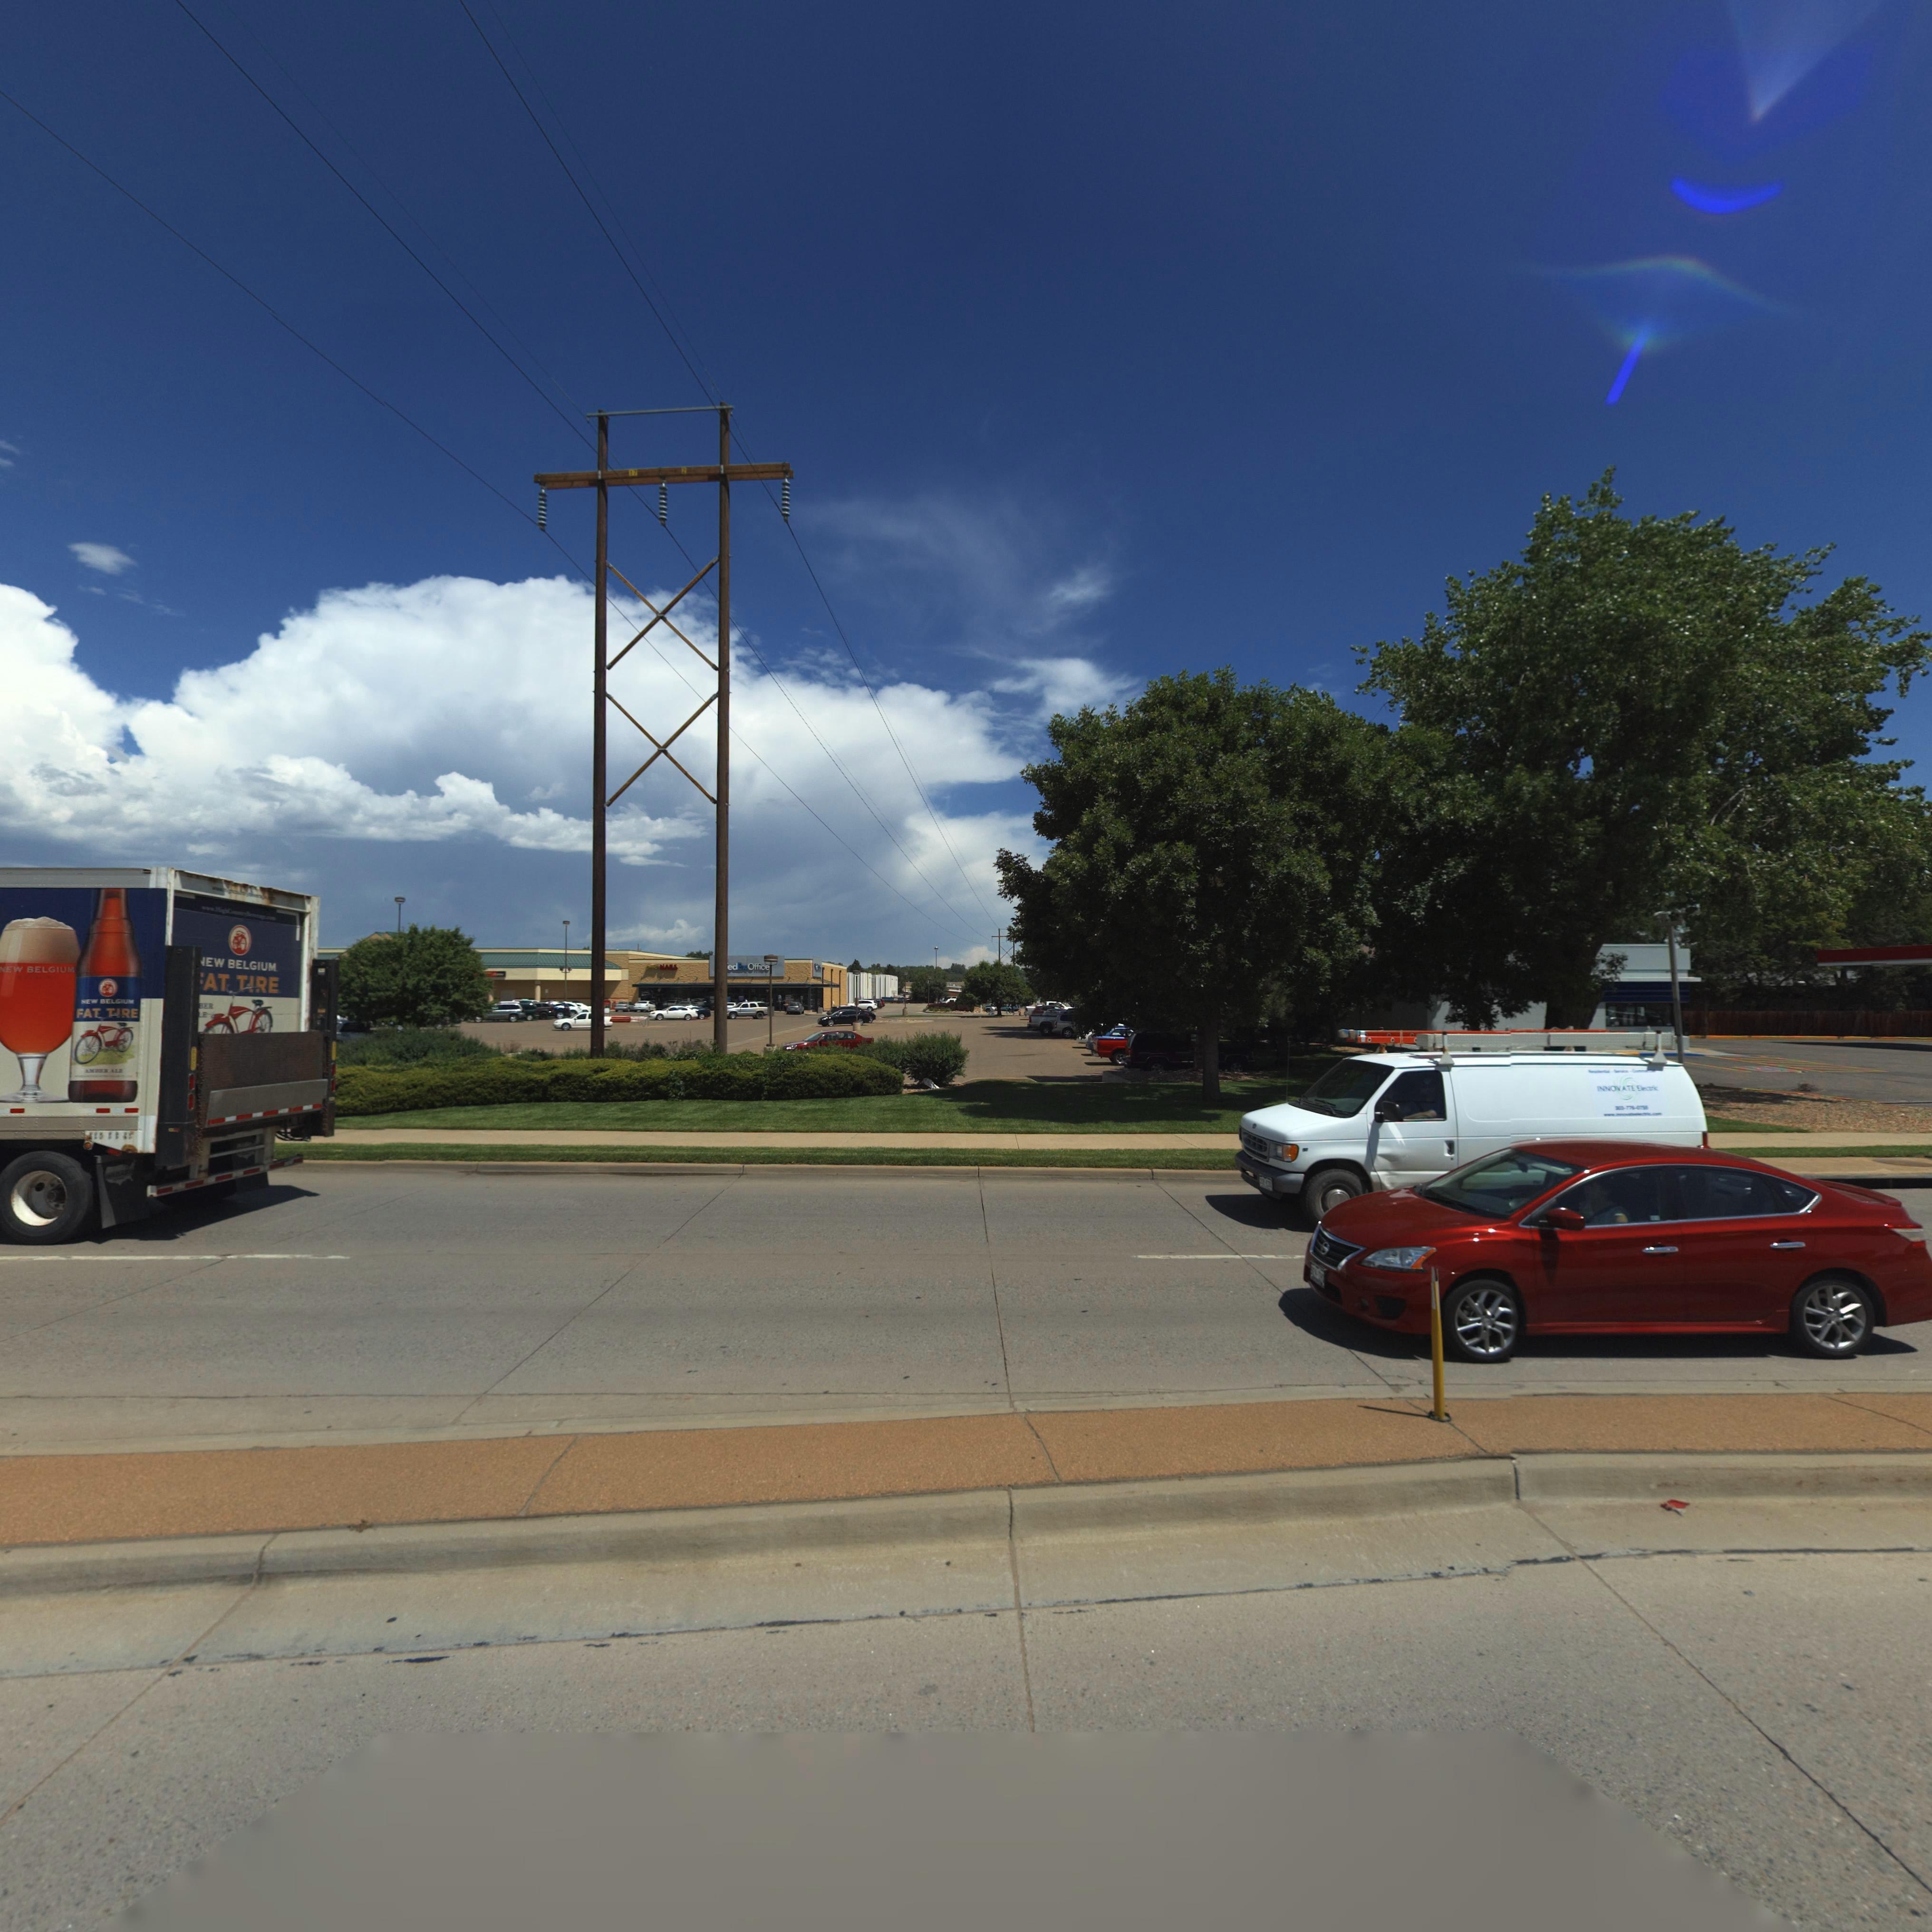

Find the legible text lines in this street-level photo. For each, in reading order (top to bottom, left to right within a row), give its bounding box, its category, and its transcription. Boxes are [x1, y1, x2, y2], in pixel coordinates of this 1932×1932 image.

[645, 963, 678, 970] BusinessName: S*** NAILS
[726, 962, 770, 970] BusinessName: edEx Office